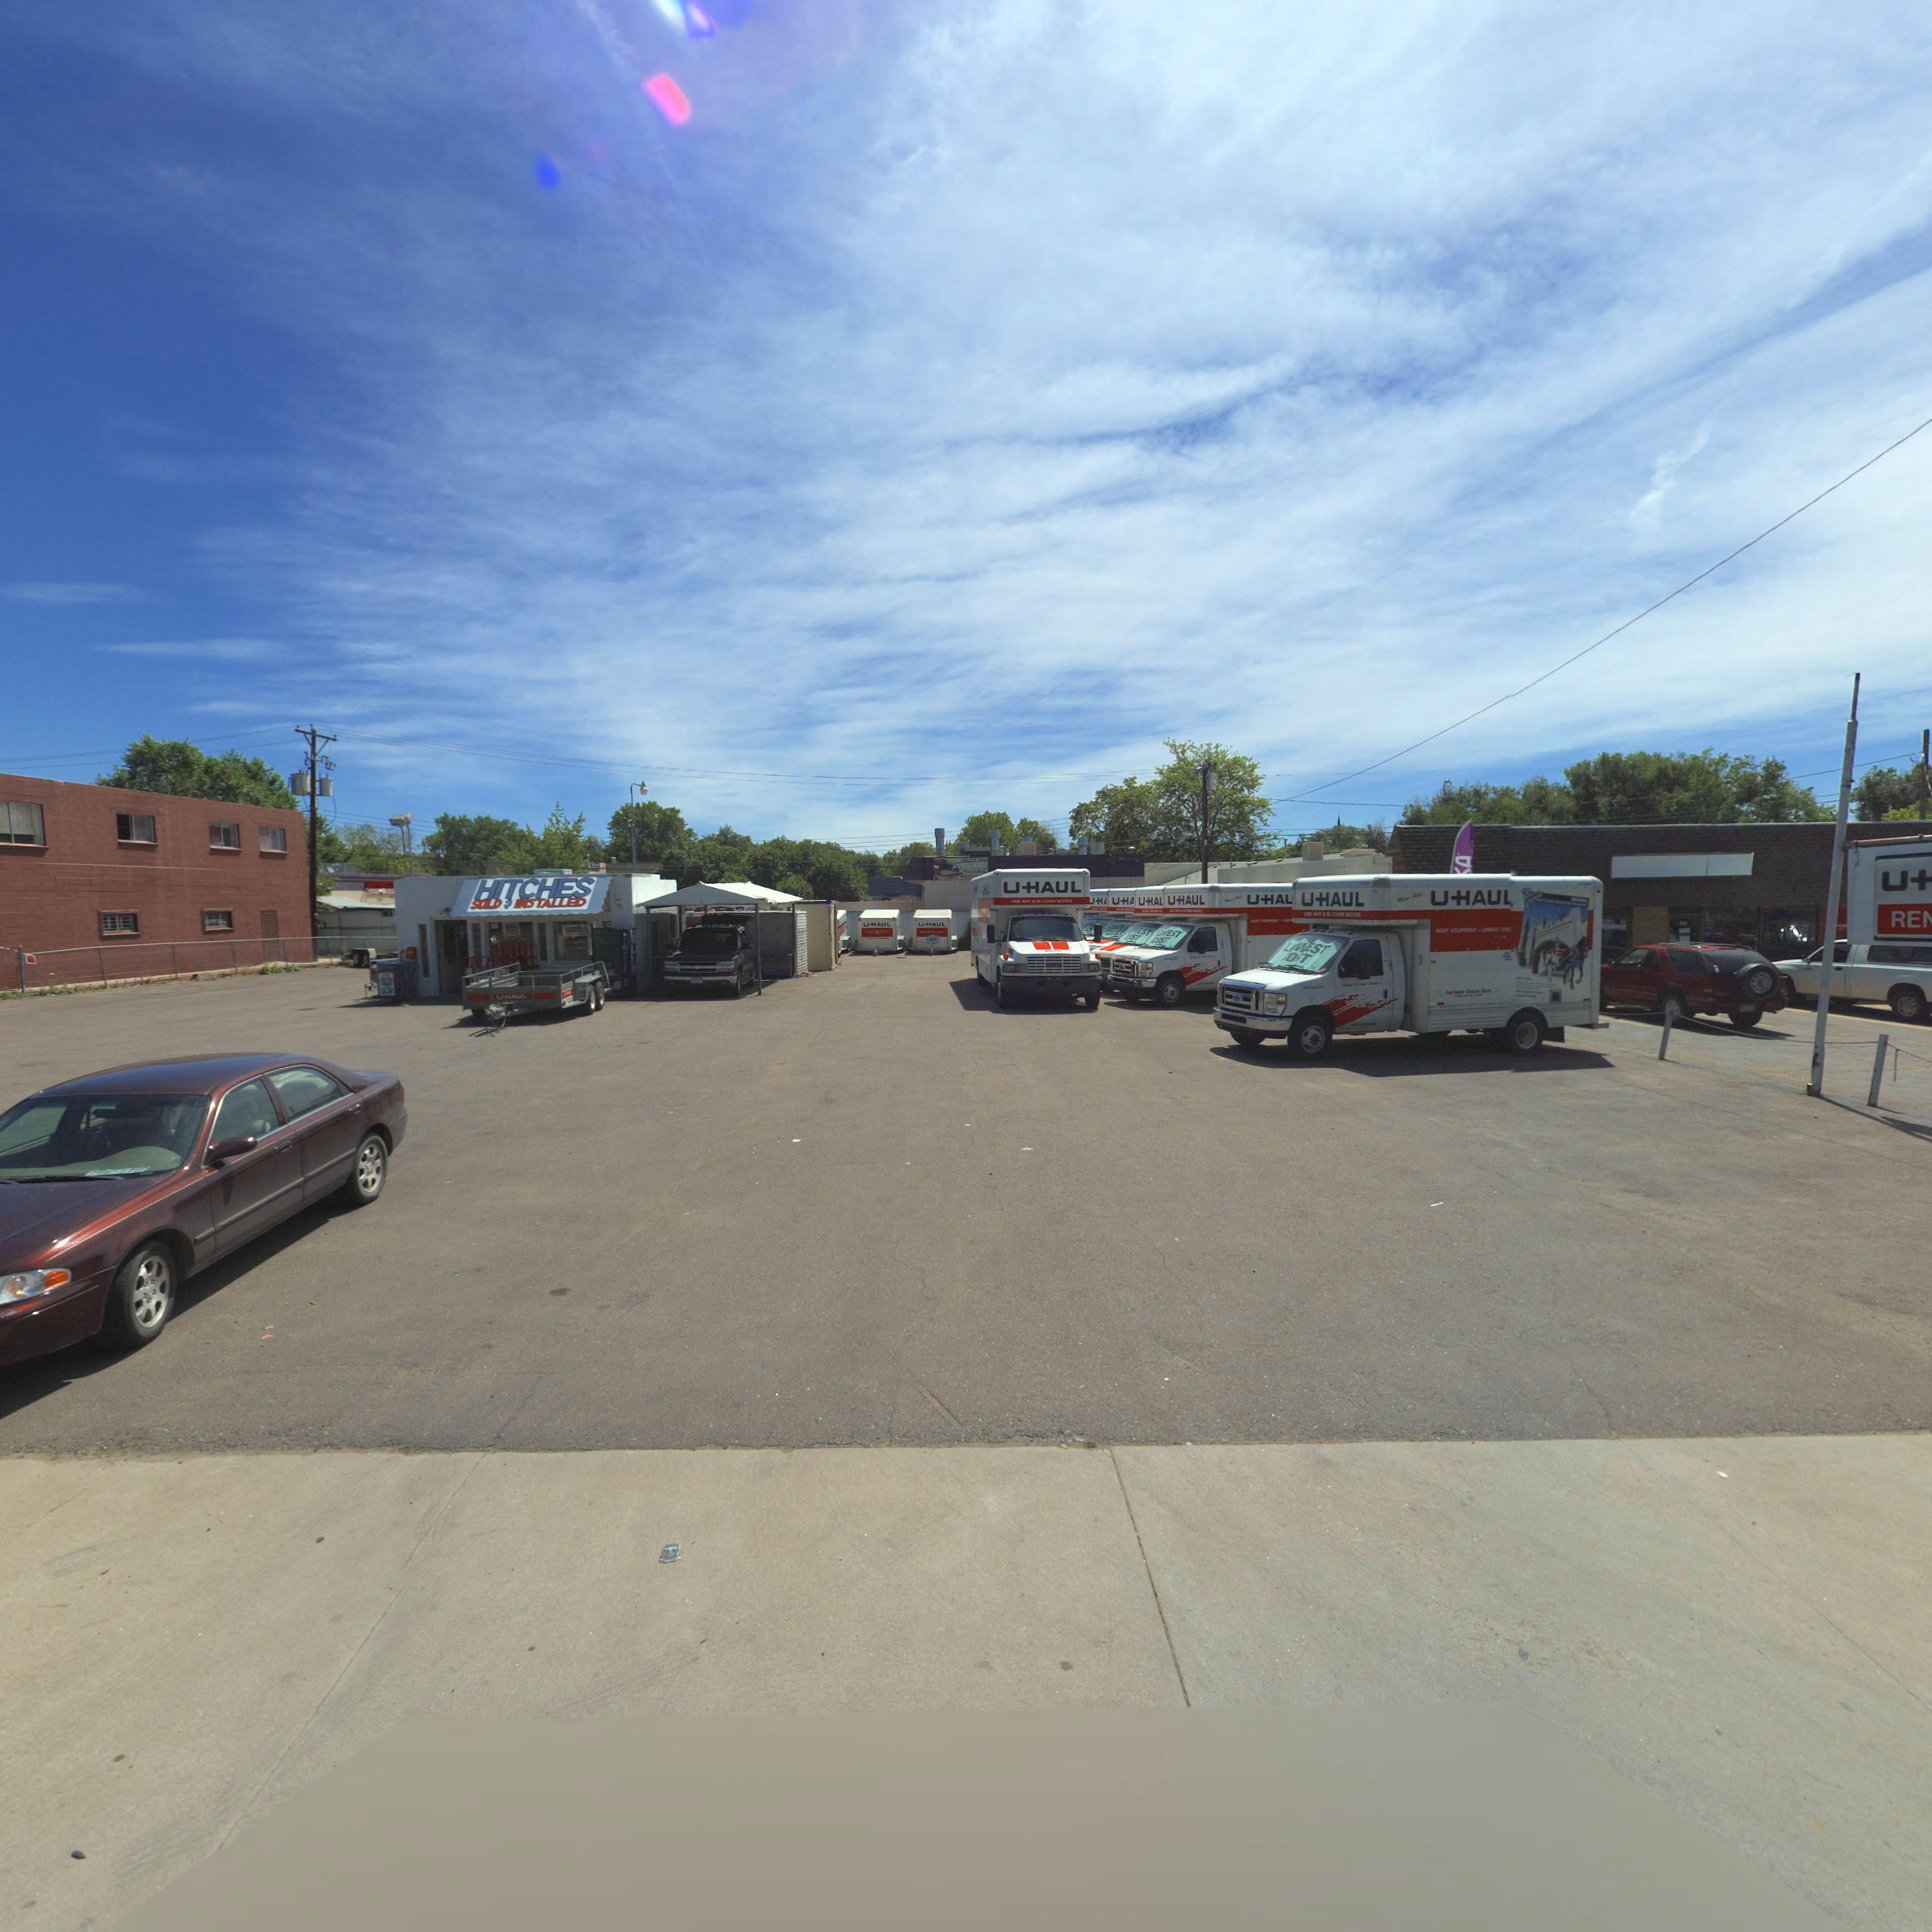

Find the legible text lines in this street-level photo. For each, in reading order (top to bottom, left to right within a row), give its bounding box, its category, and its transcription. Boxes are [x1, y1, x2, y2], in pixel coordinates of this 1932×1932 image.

[473, 877, 595, 899] BusinessName: HITCHES